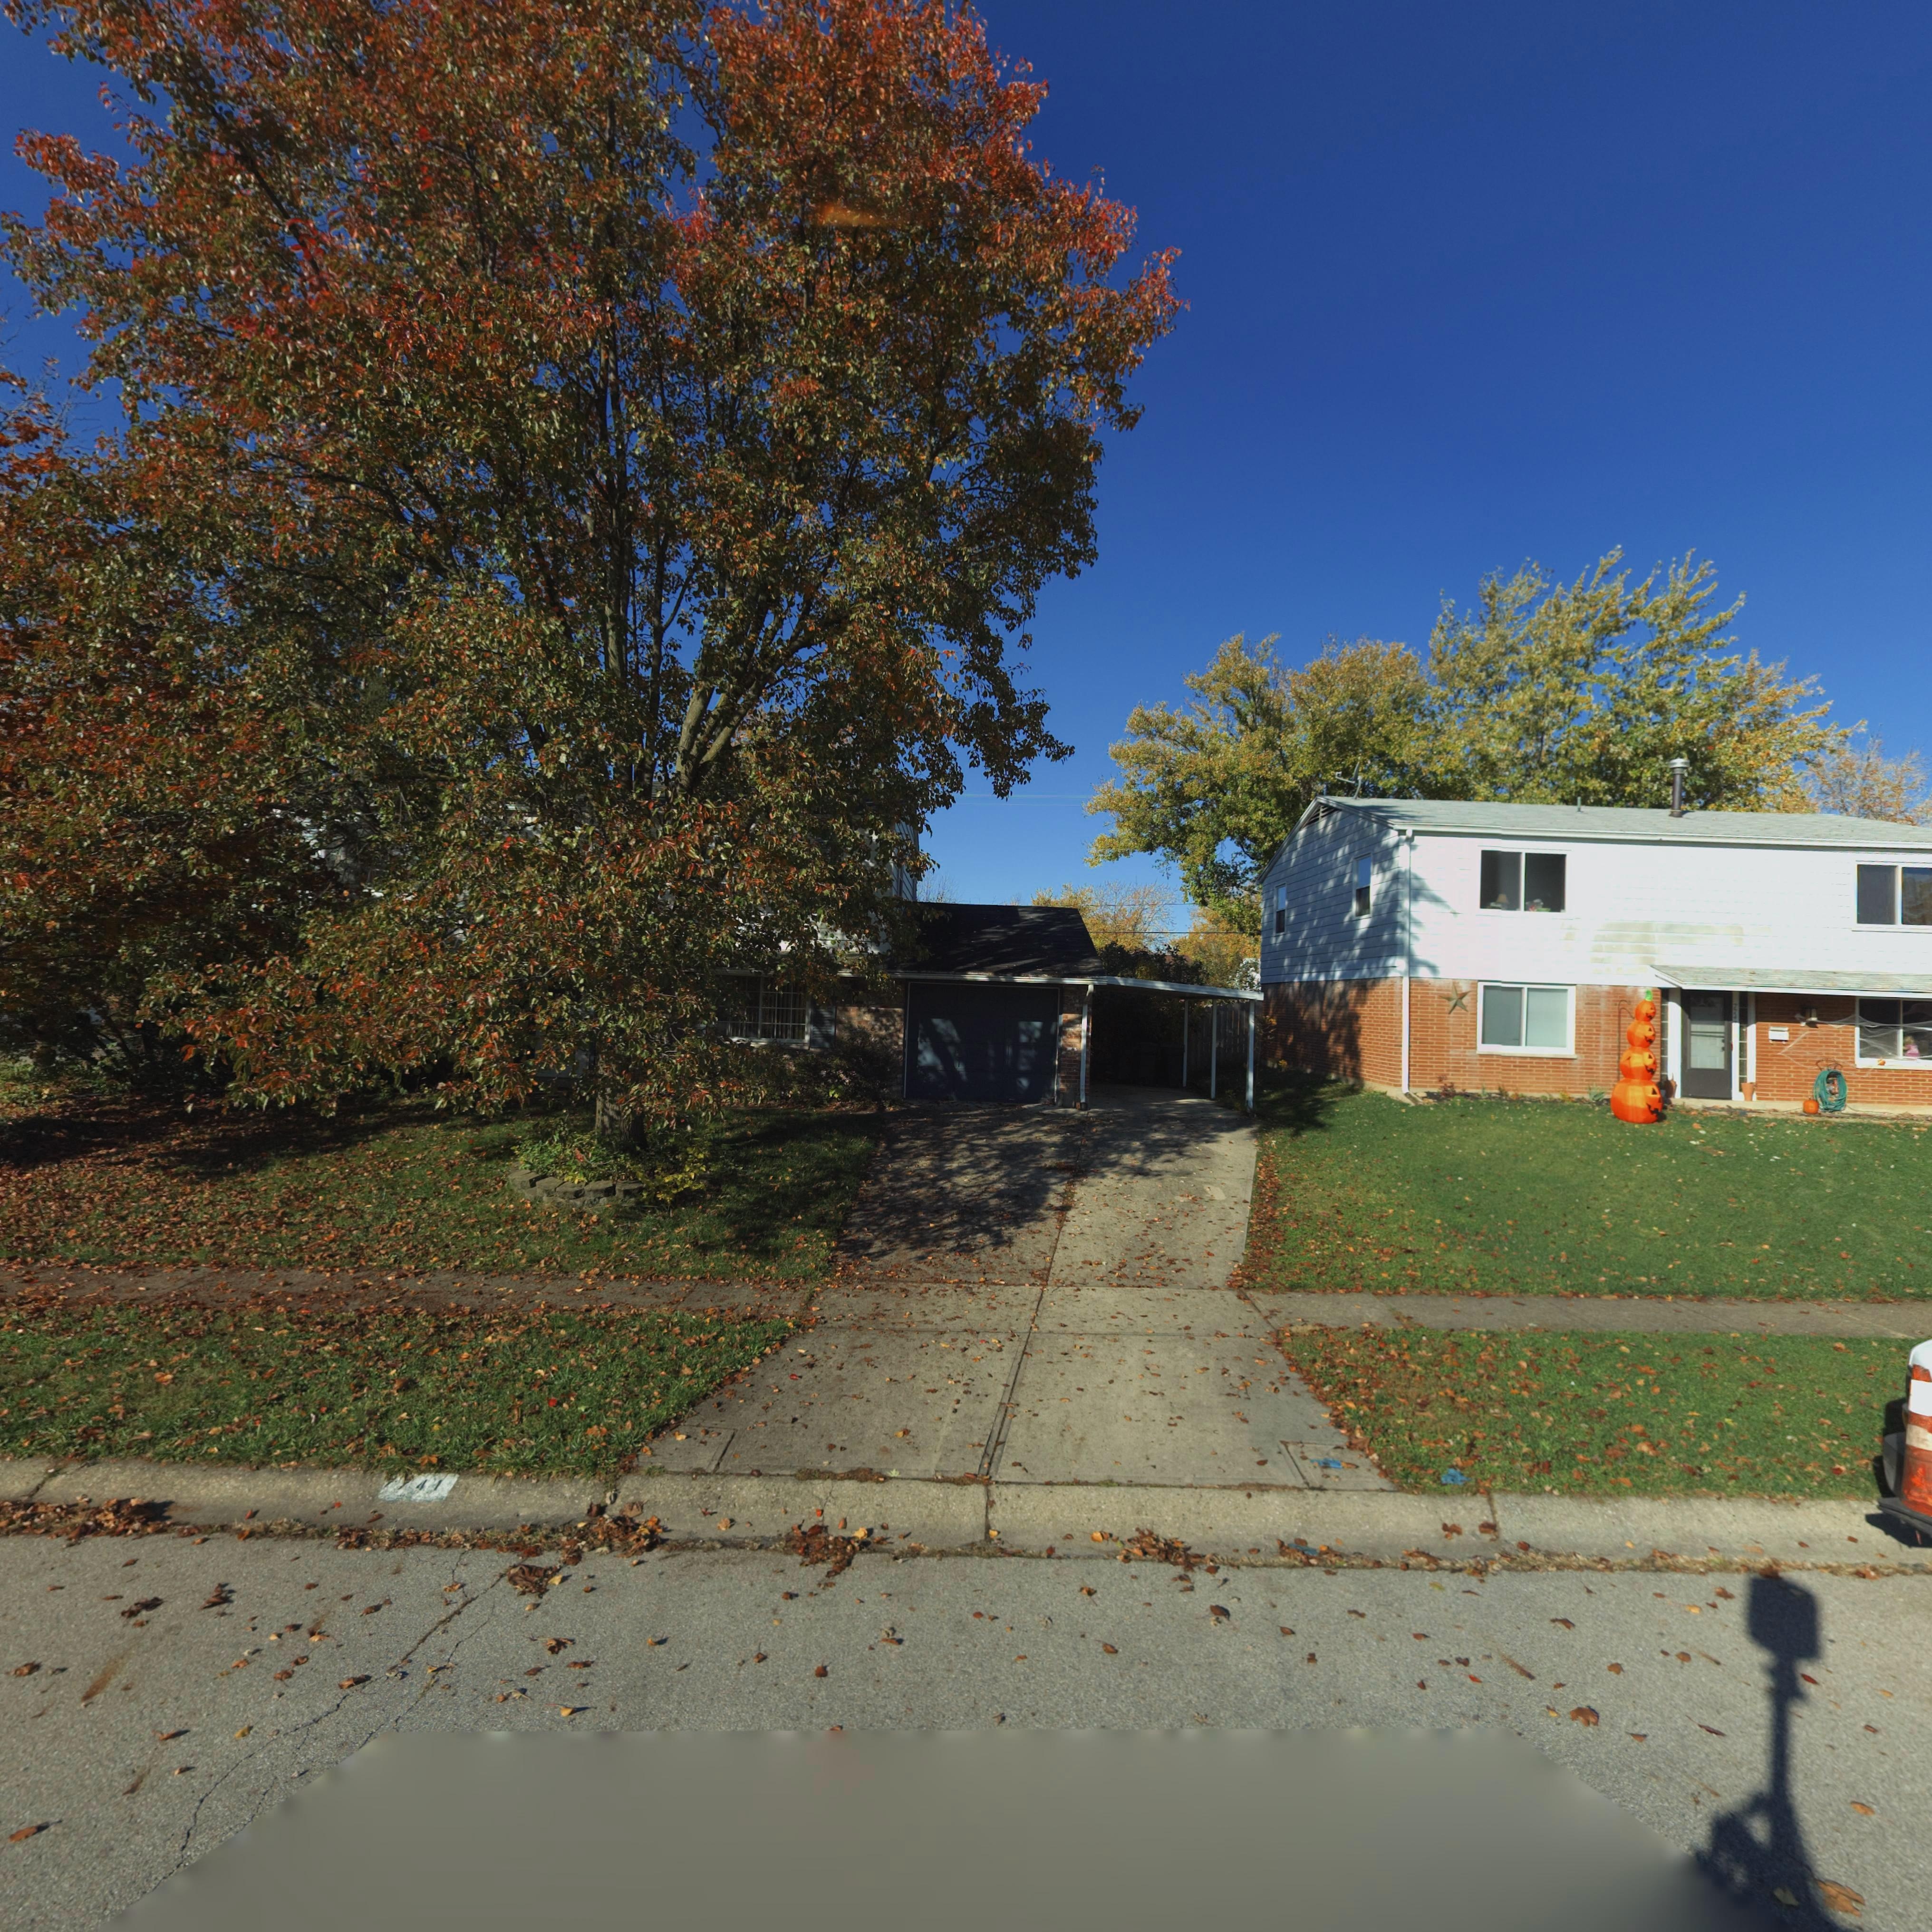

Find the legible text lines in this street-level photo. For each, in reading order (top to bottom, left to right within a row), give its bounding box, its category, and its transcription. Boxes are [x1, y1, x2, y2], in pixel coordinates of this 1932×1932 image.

[1732, 1002, 1739, 1027] StreetNumber: 77**
[380, 1475, 447, 1493] StreetNumber: **41